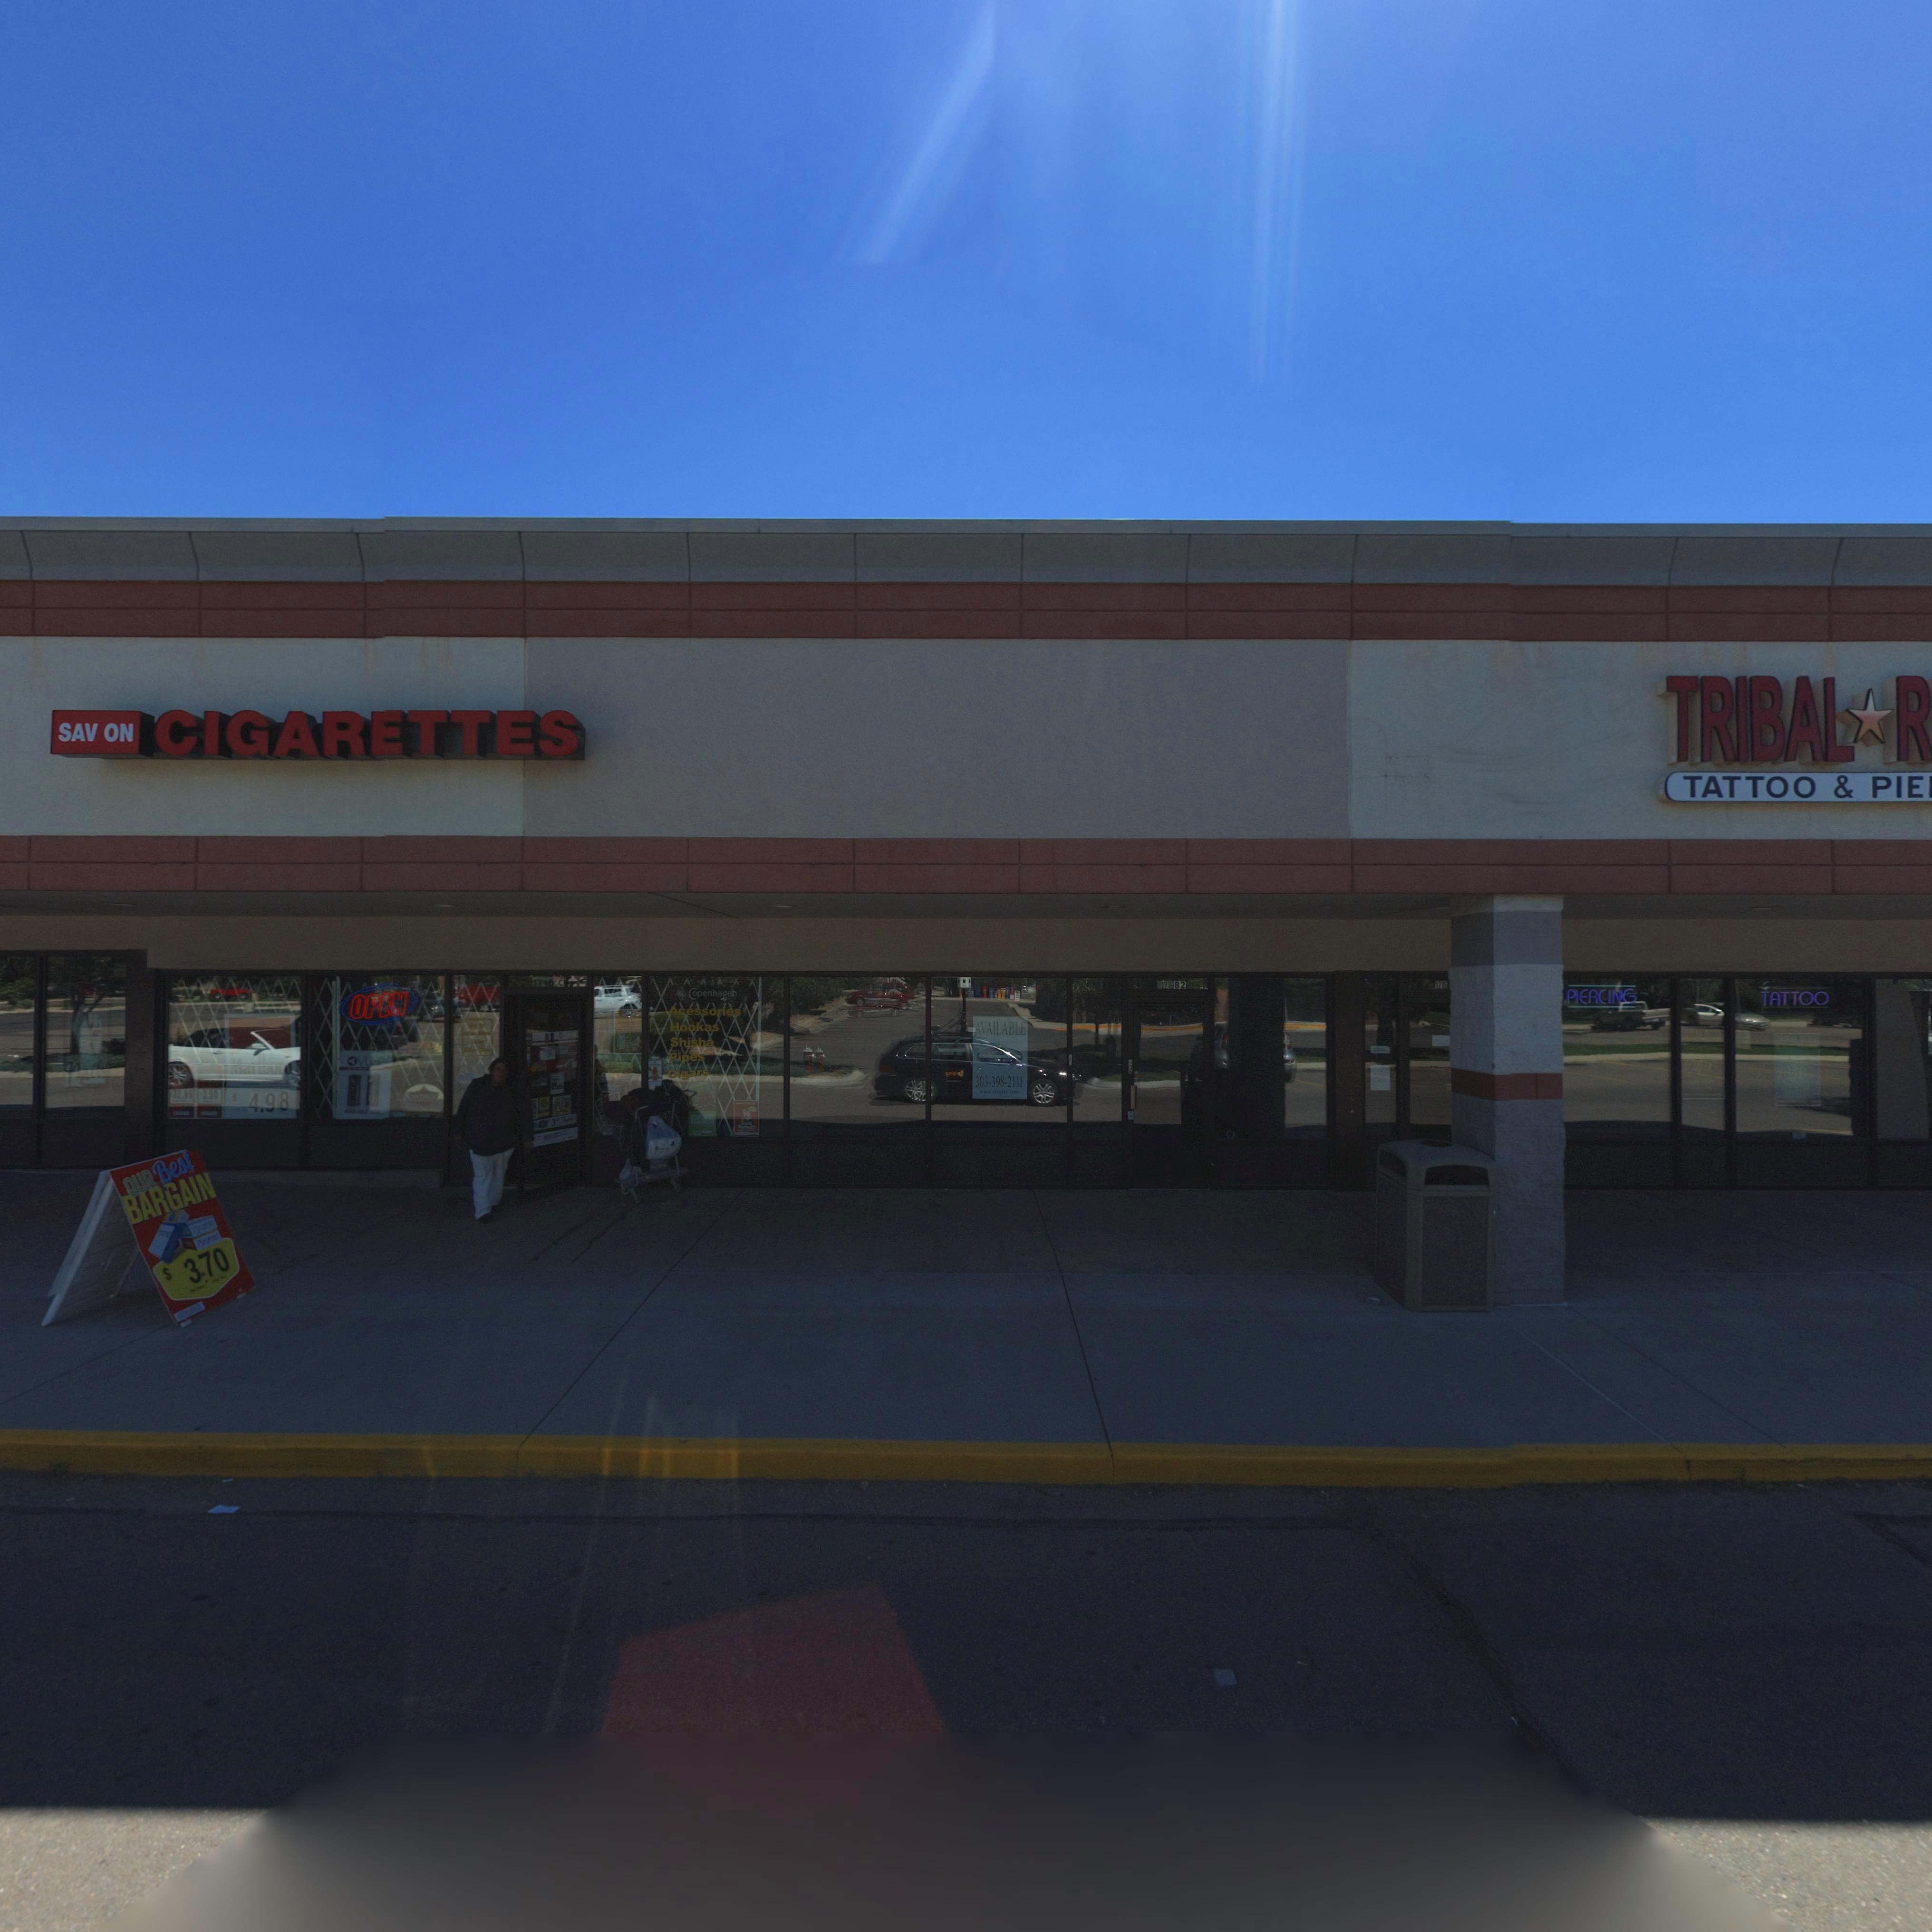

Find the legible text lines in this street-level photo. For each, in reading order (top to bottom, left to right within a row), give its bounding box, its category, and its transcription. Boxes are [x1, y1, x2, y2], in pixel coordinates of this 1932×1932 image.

[1661, 672, 1931, 764] BusinessName: TRIBAL * R
[58, 723, 133, 741] BusinessName: SAV ON
[155, 709, 579, 757] BusinessName: CIGARETTES
[531, 978, 564, 987] StreetNumber: 1716 C
[1160, 980, 1186, 989] StreetNumber: 1716 B2